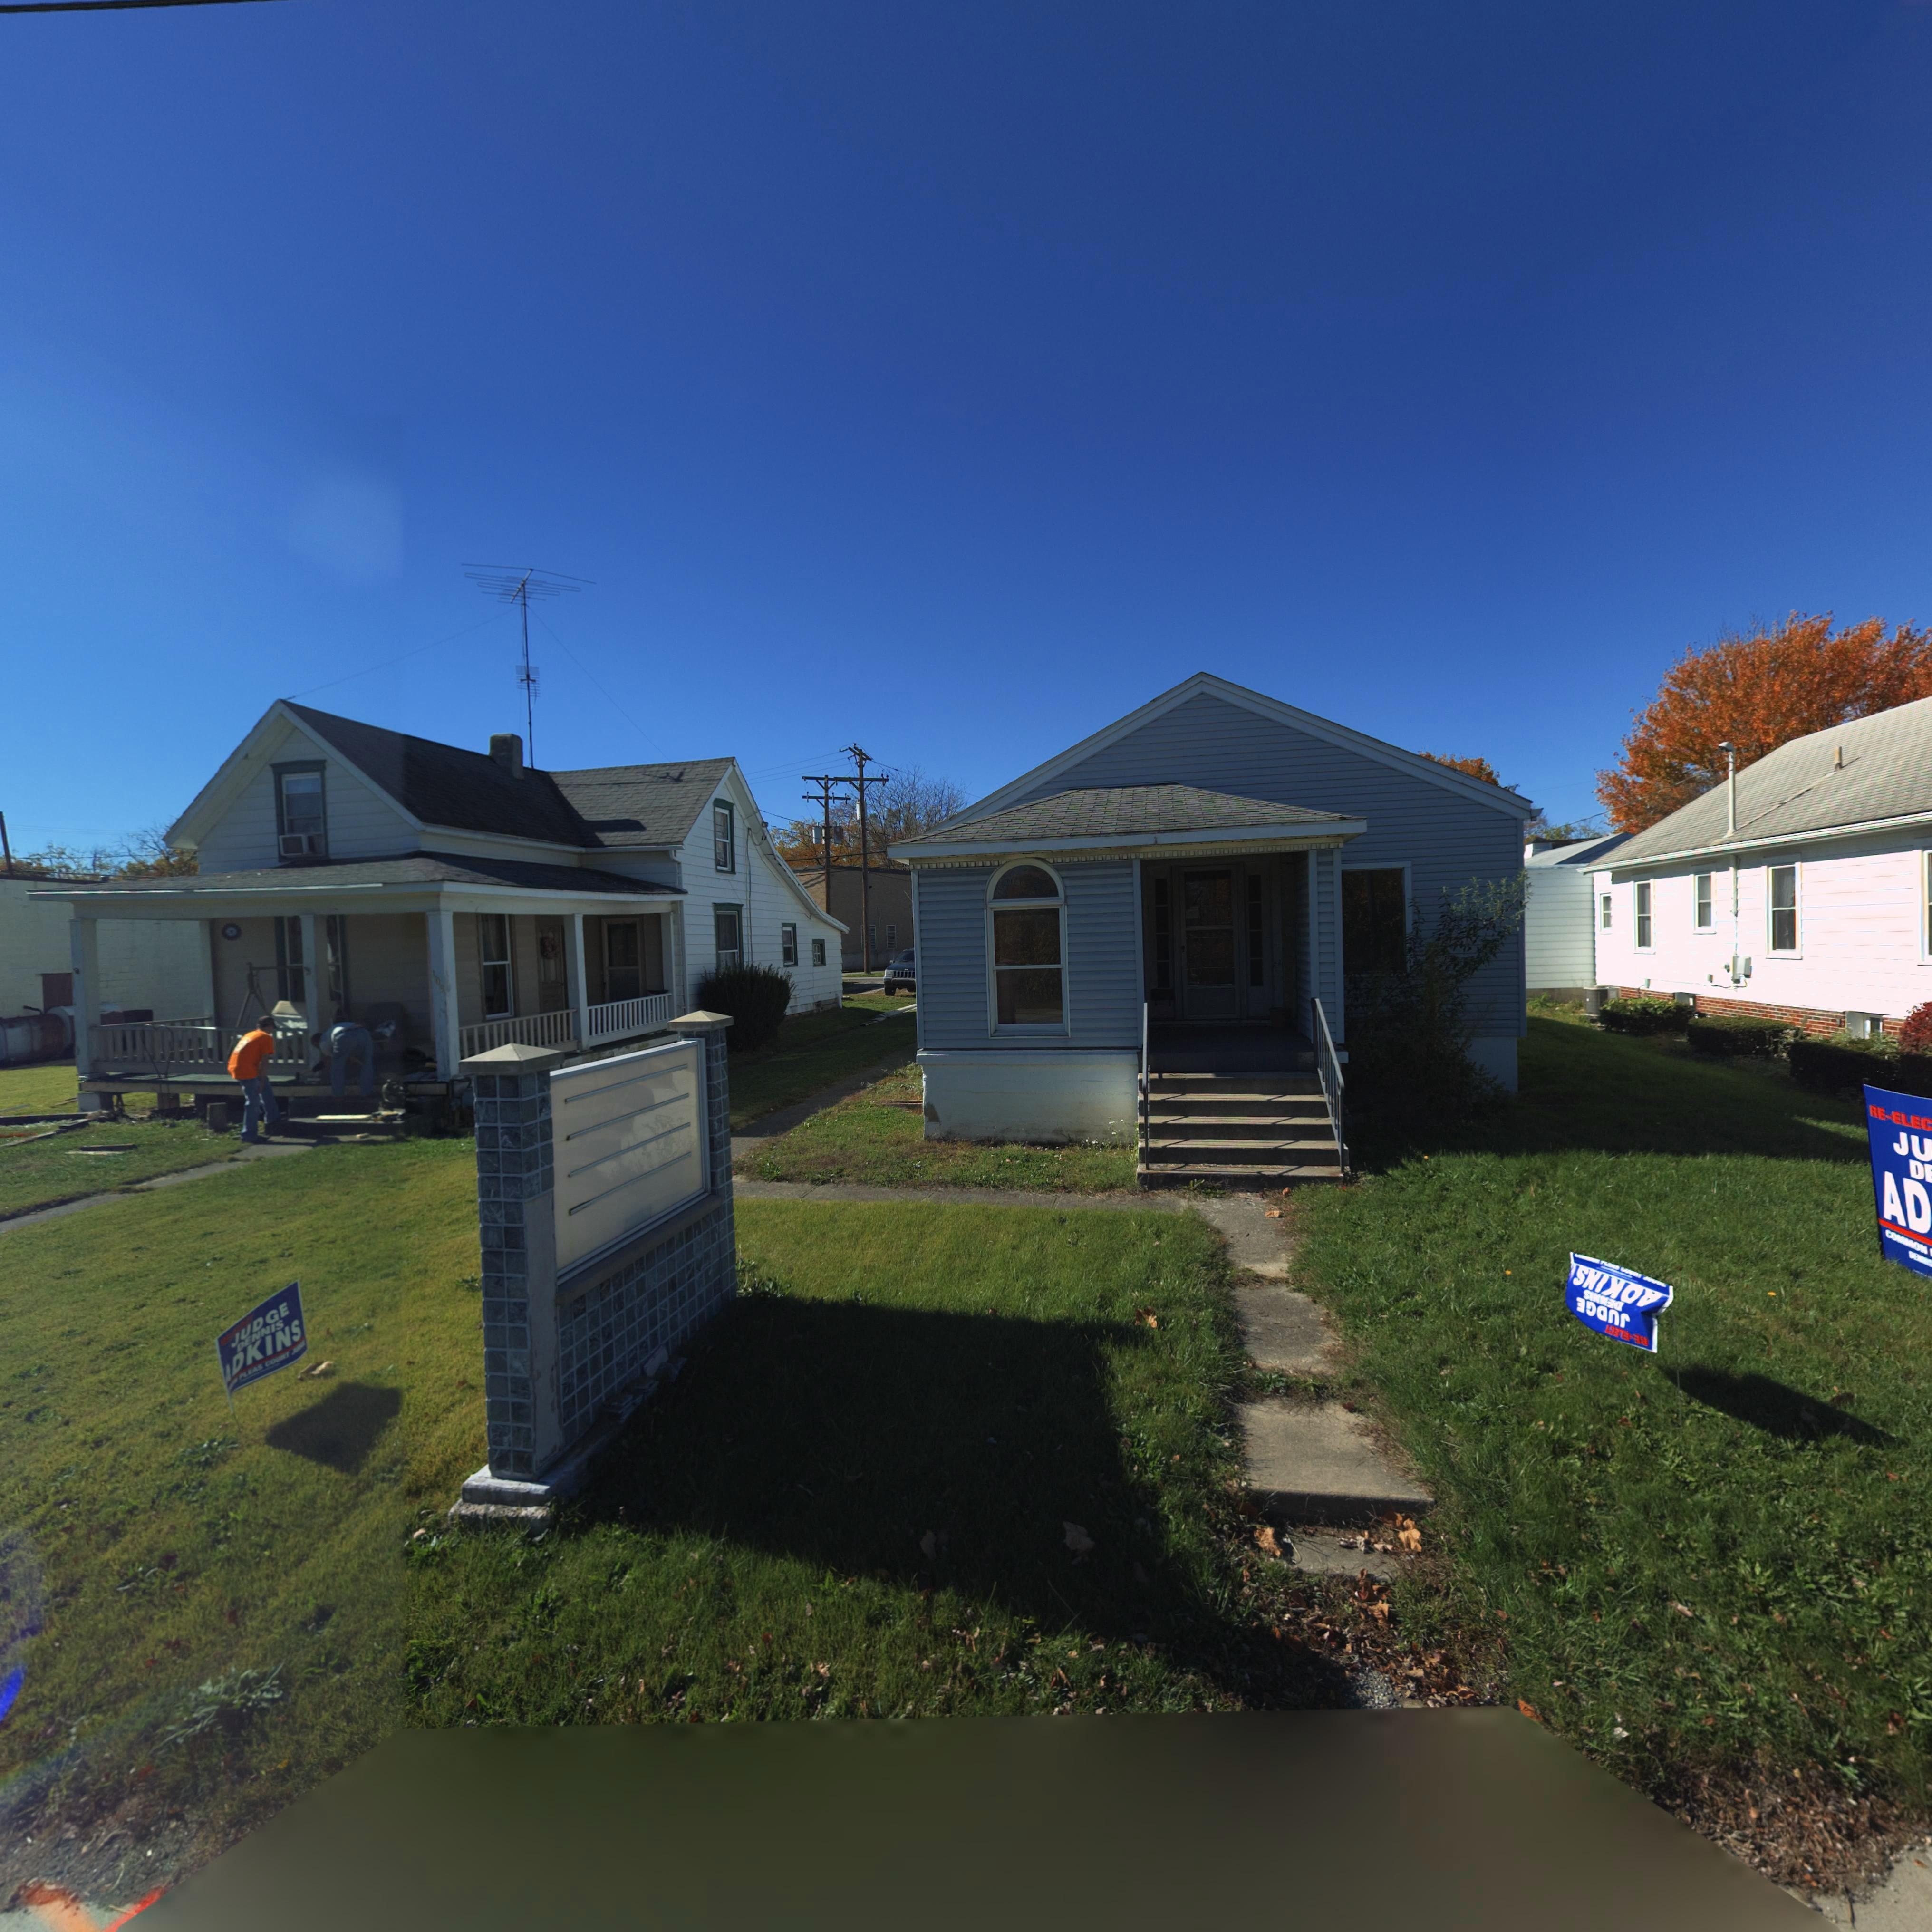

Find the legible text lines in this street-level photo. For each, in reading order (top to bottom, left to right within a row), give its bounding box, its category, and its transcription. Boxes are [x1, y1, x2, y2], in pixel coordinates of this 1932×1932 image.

[432, 969, 445, 994] StreetNumber: 109